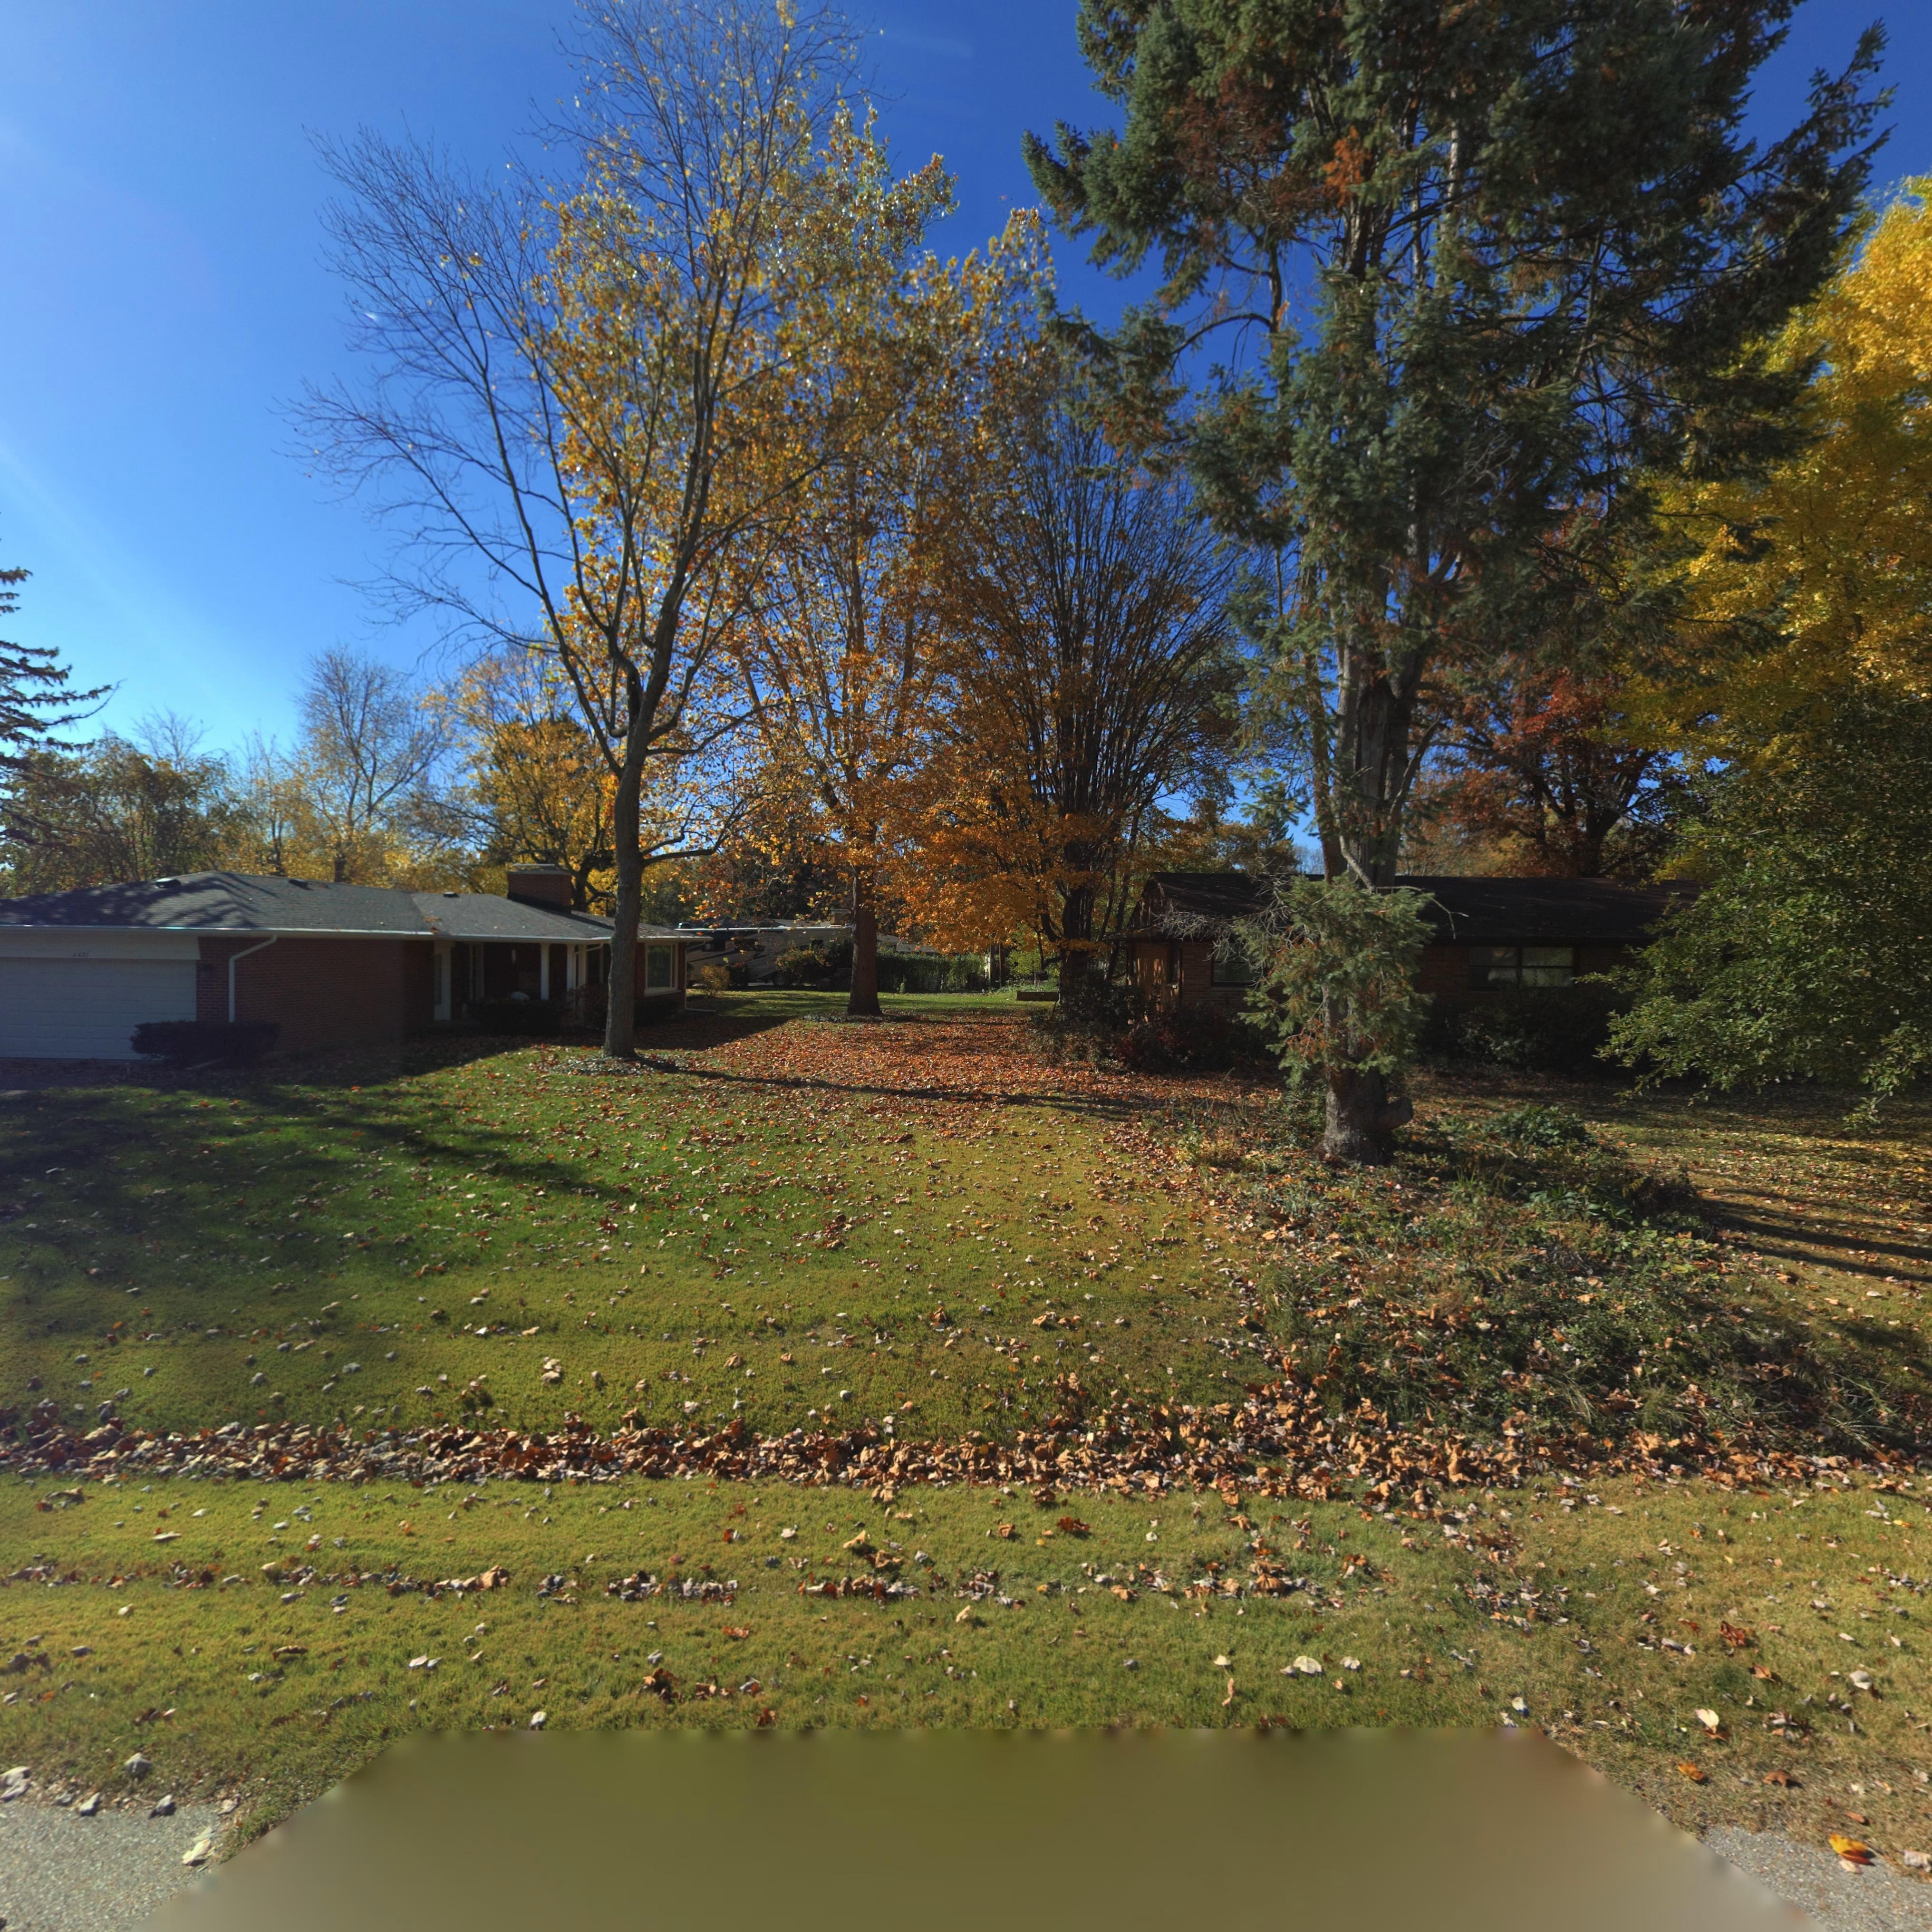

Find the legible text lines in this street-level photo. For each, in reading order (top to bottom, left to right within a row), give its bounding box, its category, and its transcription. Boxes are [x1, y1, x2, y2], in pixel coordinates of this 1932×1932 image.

[71, 951, 89, 958] StreetNumber: **21